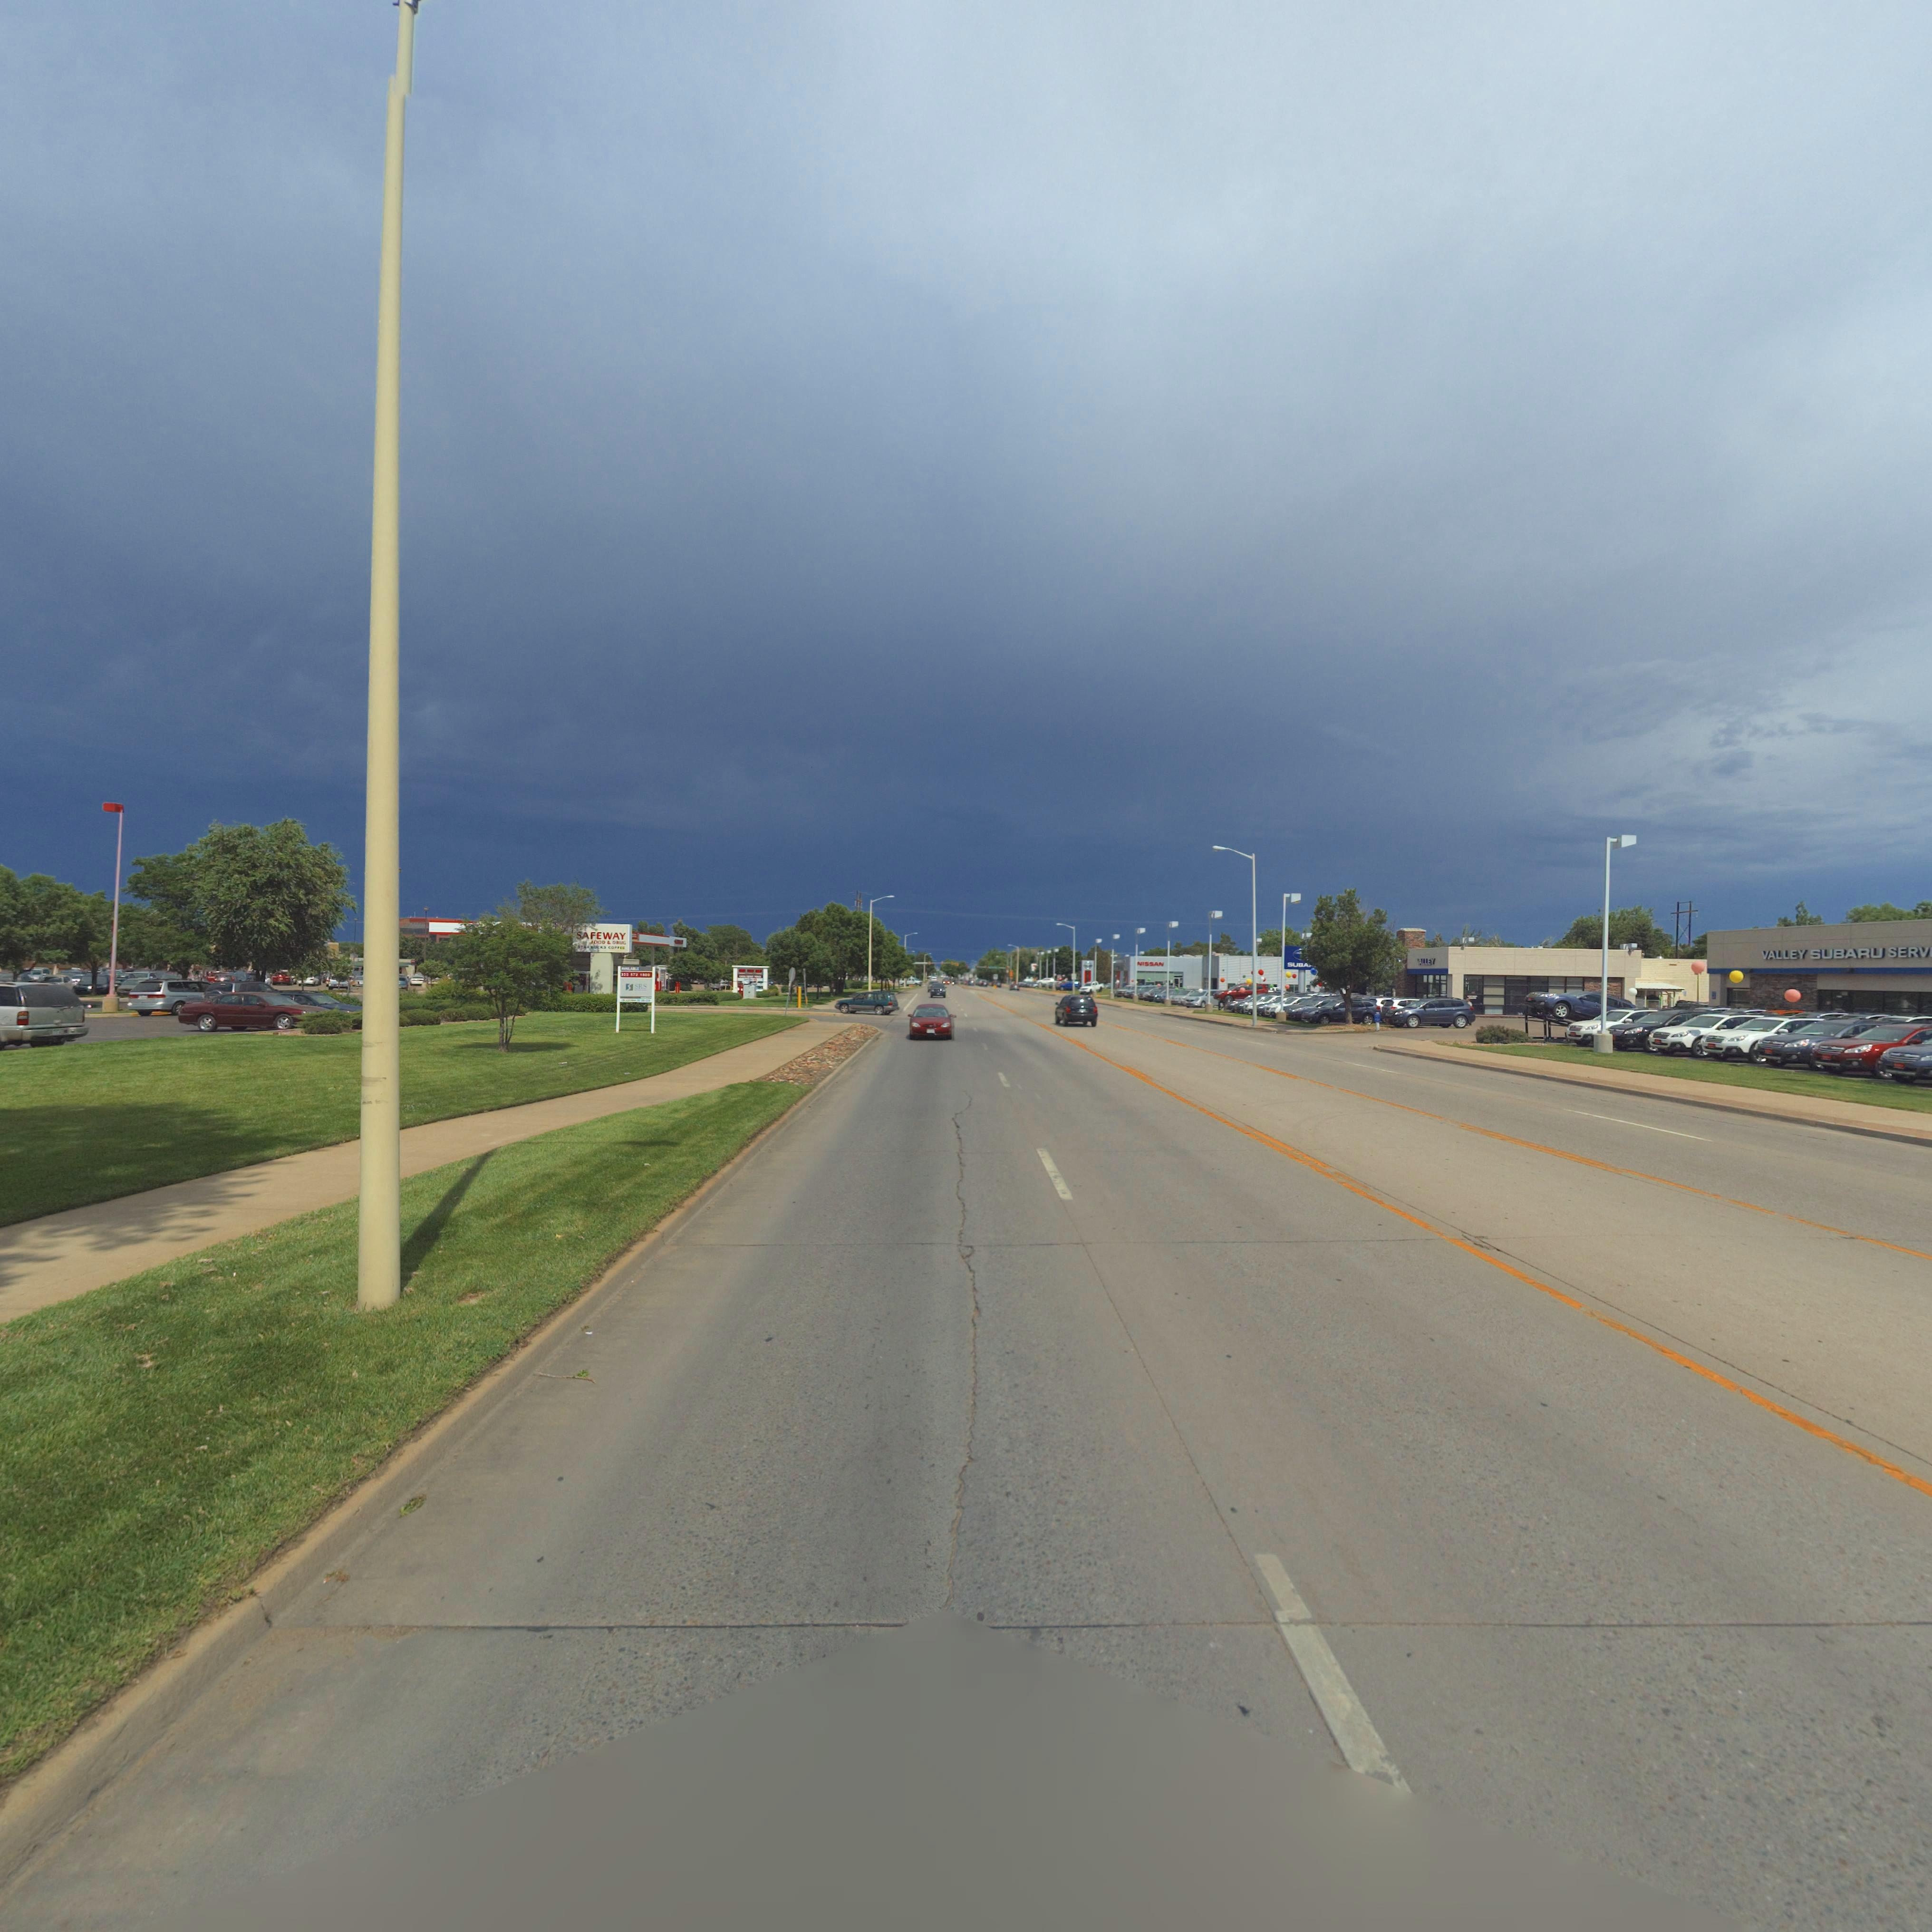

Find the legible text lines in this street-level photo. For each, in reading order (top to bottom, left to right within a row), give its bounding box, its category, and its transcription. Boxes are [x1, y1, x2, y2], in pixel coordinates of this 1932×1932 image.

[576, 931, 626, 940] BusinessName: SAFEWAY
[577, 945, 626, 949] BusinessName: STARBUCKS COFFEE
[1137, 961, 1164, 966] BusinessName: NISSAN
[1286, 962, 1308, 967] BusinessName: SUBA
[1416, 958, 1435, 965] BusinessName: VALLEY